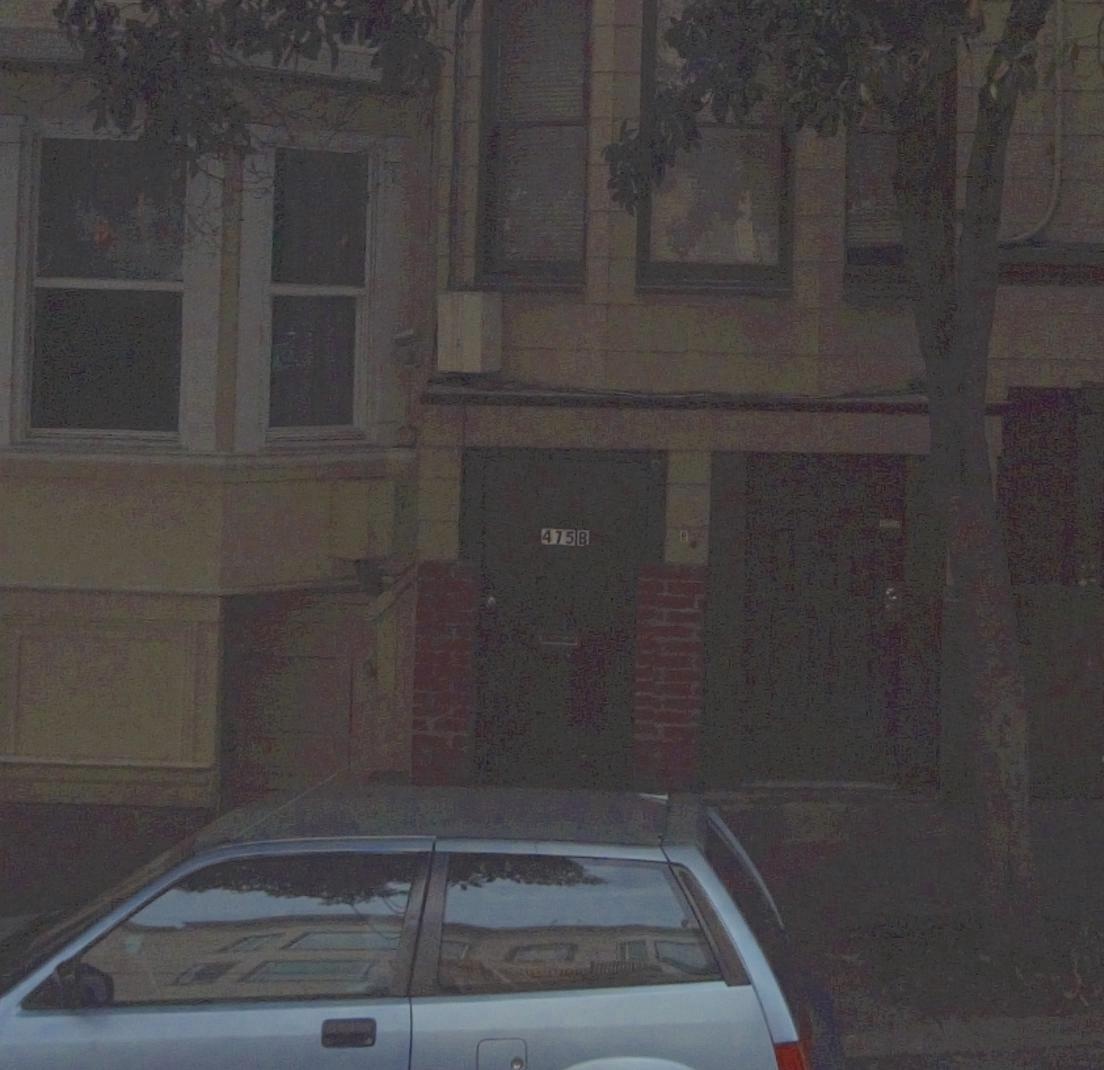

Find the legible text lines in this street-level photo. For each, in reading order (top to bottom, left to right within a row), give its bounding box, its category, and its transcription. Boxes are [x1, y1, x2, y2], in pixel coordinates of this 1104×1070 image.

[541, 527, 590, 548] StreetNumber: 475 B